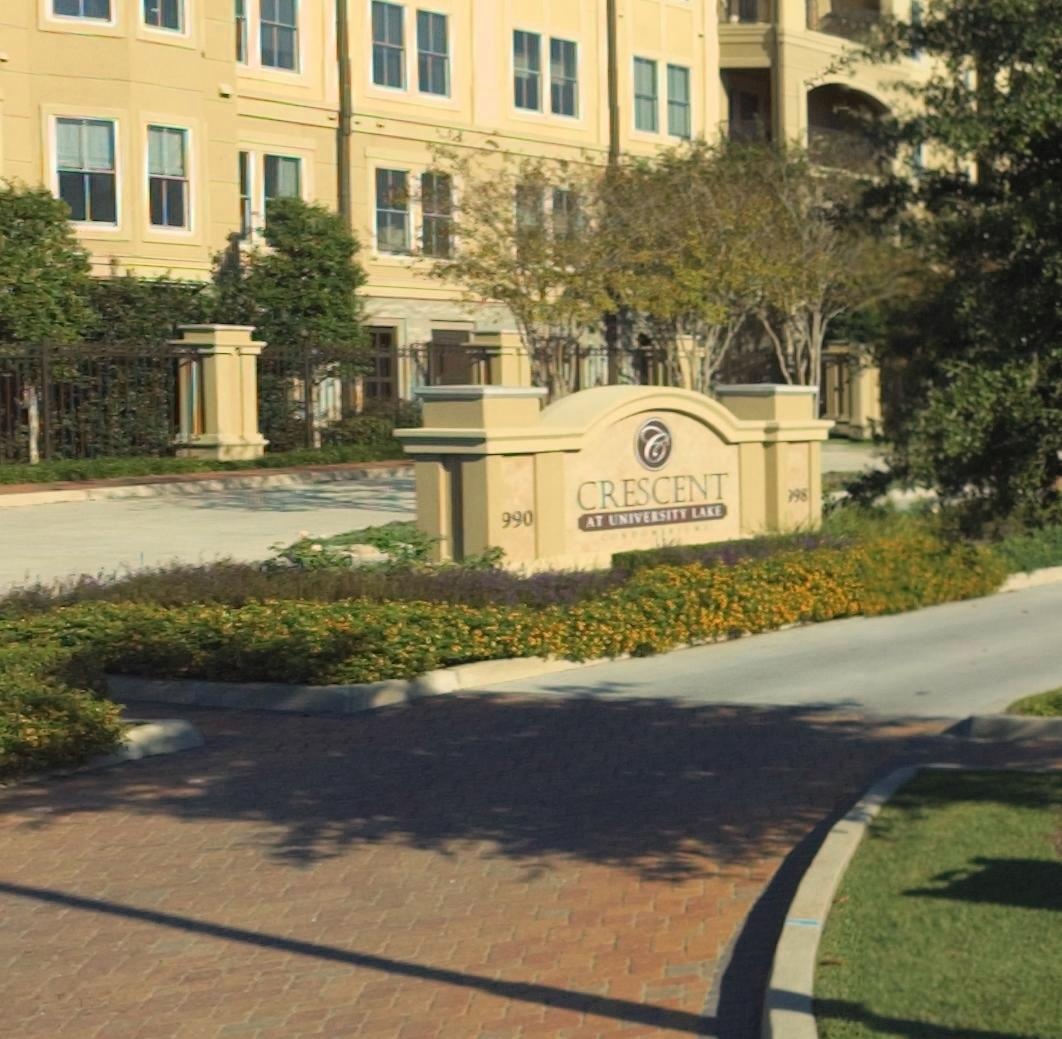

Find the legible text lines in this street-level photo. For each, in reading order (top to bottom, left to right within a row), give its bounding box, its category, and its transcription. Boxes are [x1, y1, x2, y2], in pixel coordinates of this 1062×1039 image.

[574, 469, 732, 513] BusinessName: CRESCENT
[790, 485, 810, 505] StreetNumber: 98
[499, 506, 536, 532] StreetNumber: 990
[582, 503, 725, 531] None: AT UNIVERSITY LAKE